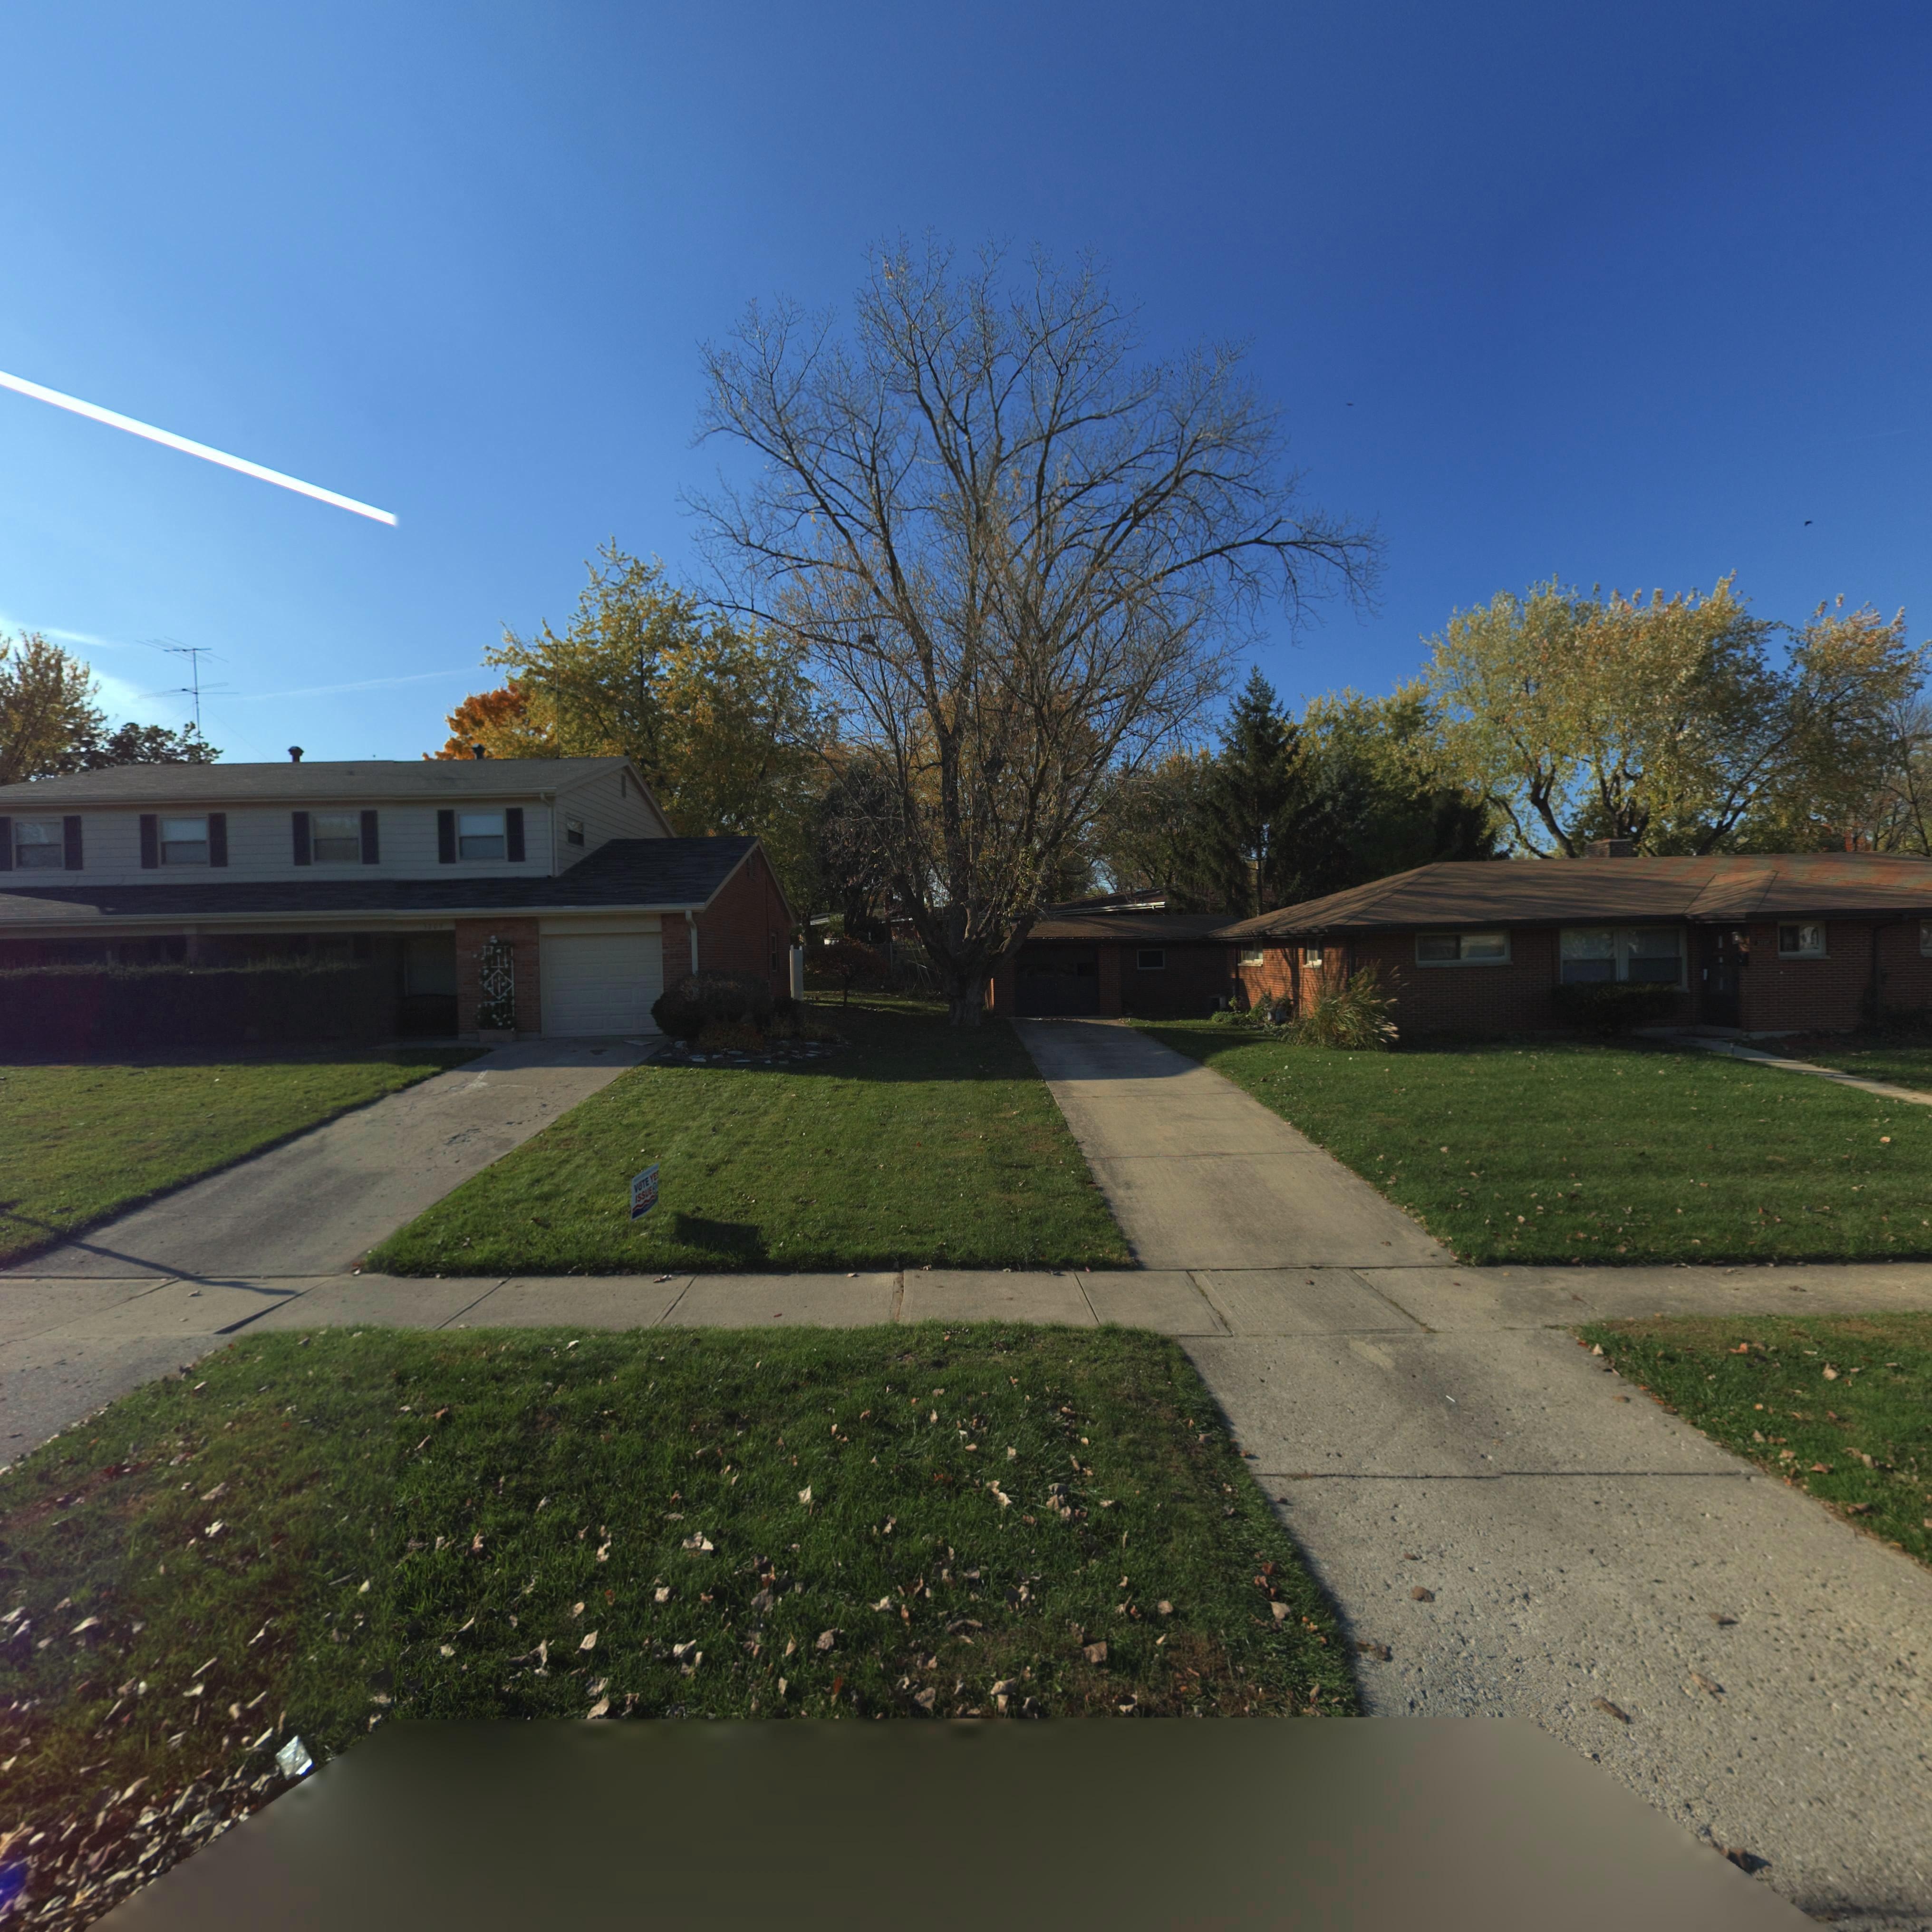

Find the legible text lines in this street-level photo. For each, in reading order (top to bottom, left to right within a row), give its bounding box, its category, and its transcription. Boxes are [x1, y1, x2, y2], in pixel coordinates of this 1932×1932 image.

[422, 921, 443, 929] StreetNumber: 3209
[1757, 939, 1769, 945] StreetNumber: 3205